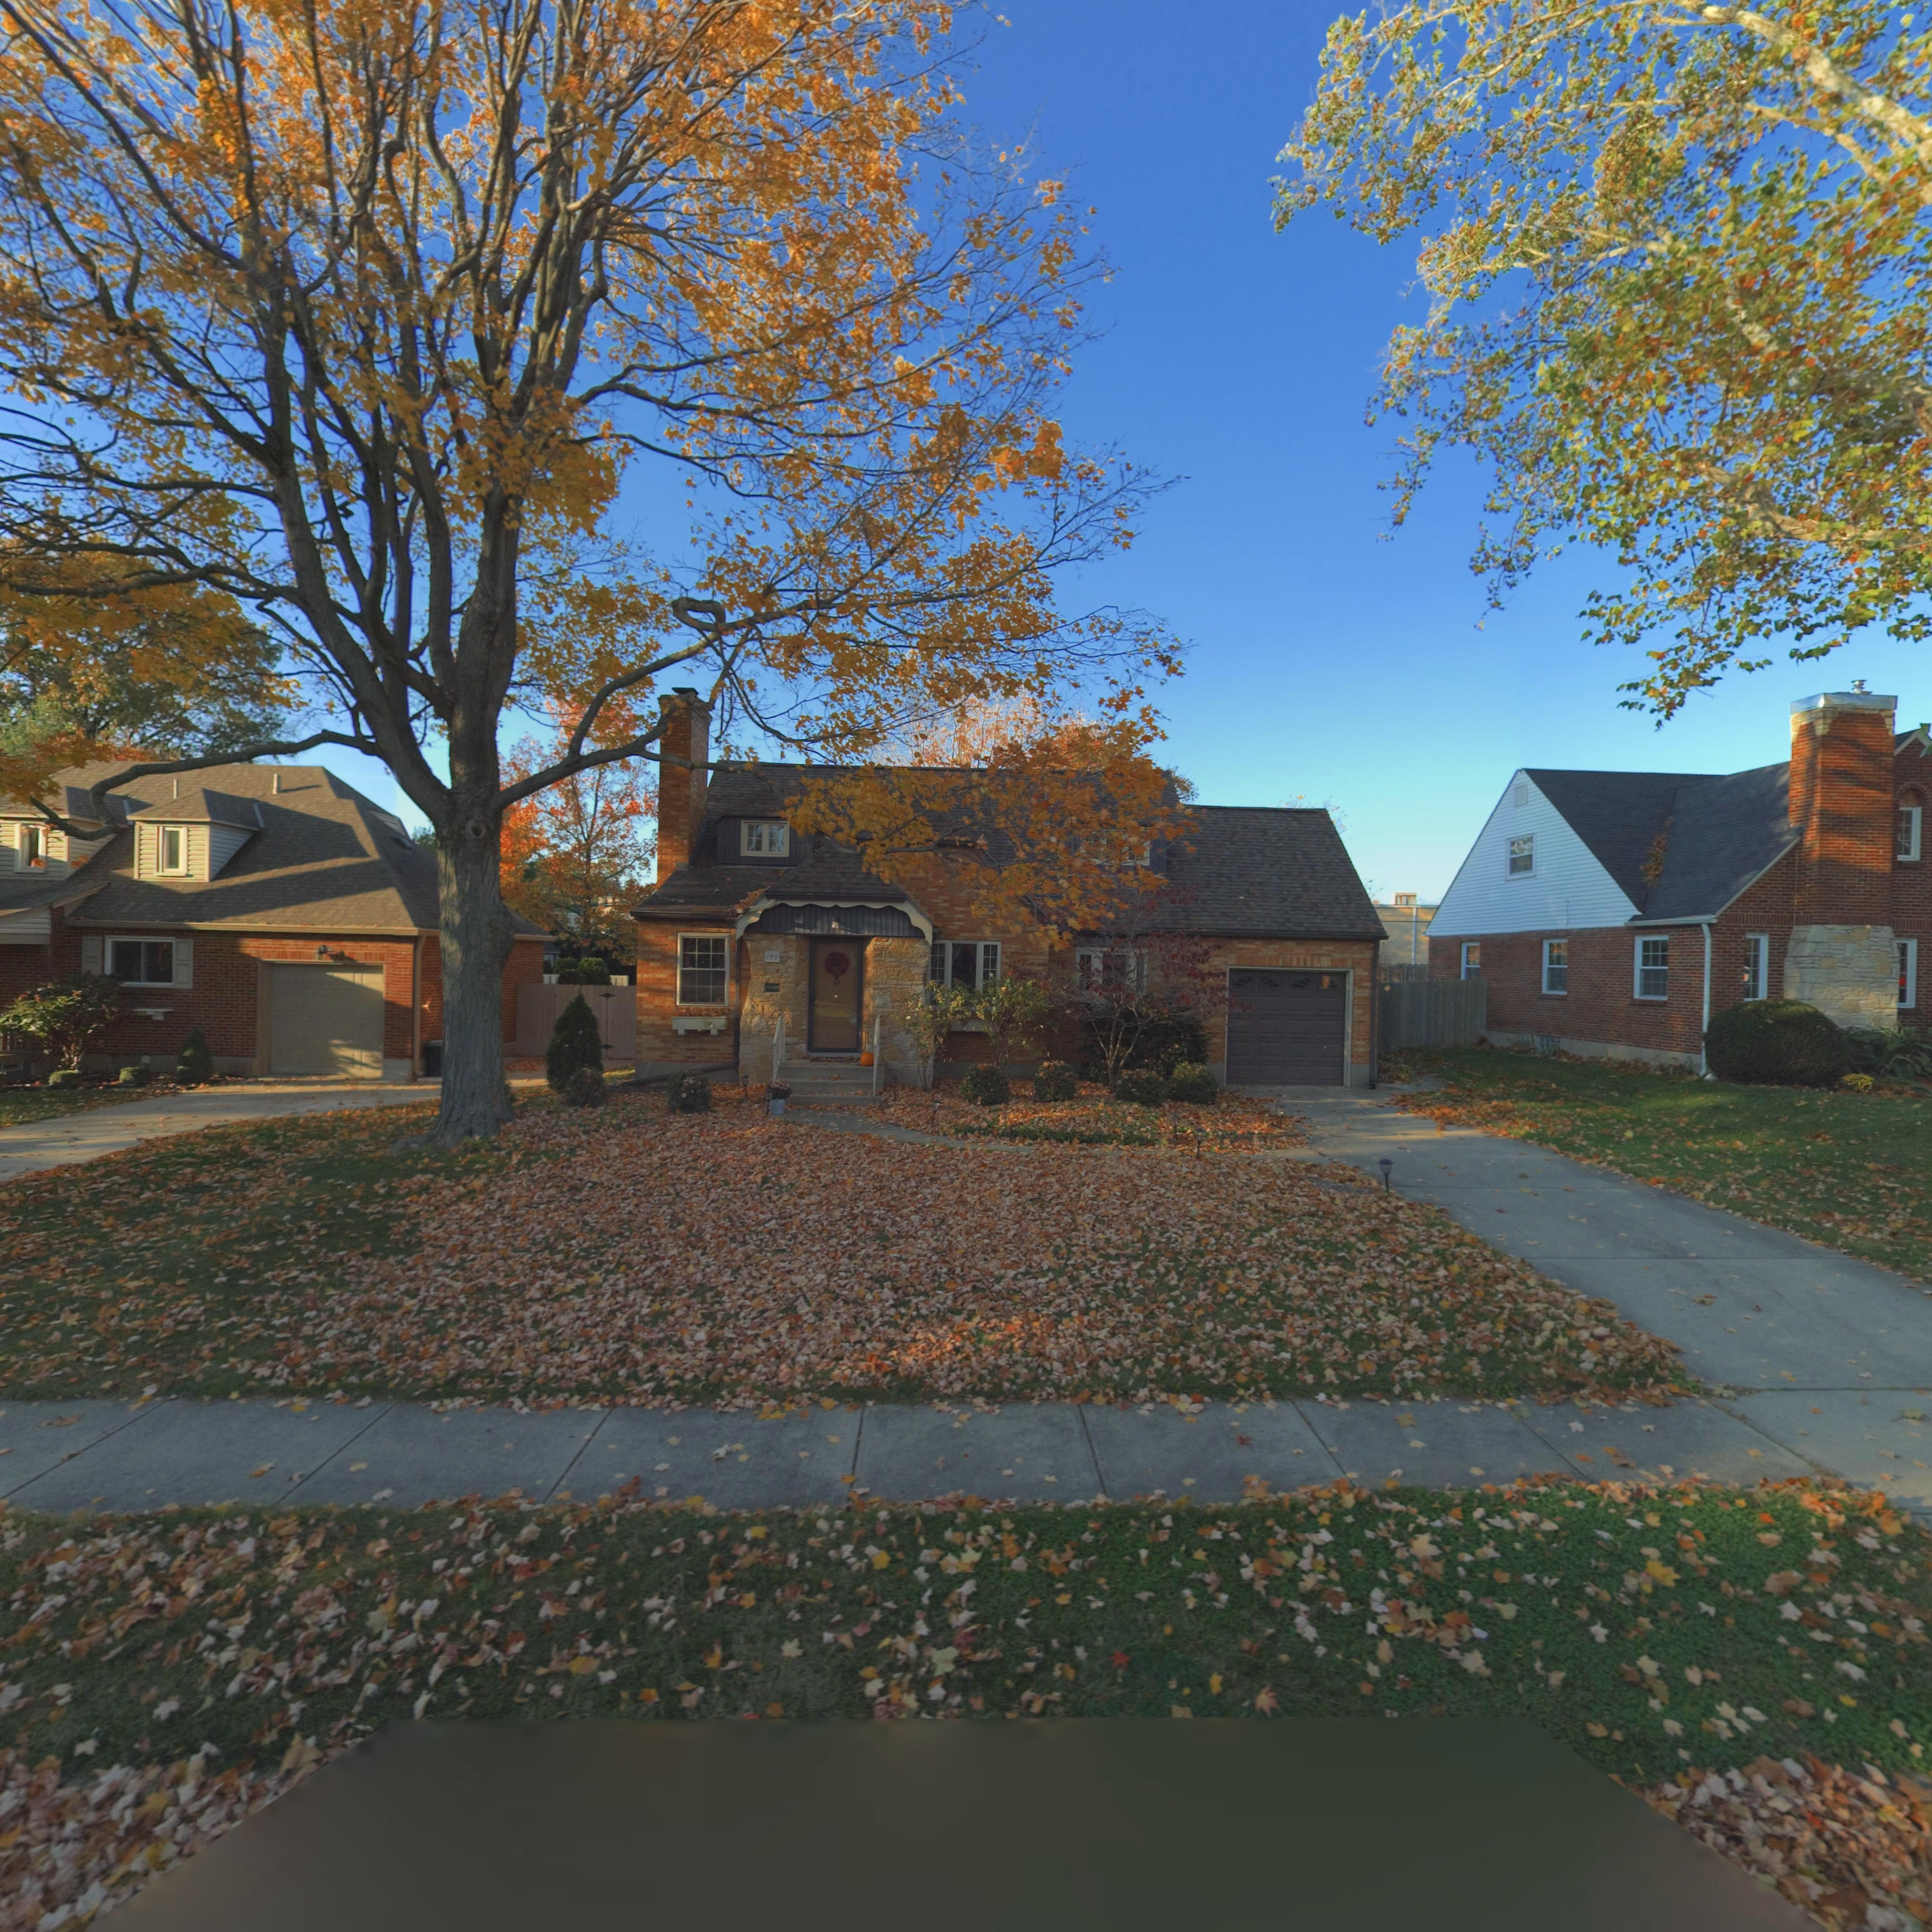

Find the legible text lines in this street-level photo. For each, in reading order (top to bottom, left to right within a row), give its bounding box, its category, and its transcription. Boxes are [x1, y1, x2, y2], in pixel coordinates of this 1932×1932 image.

[766, 953, 779, 961] StreetNumber: 149